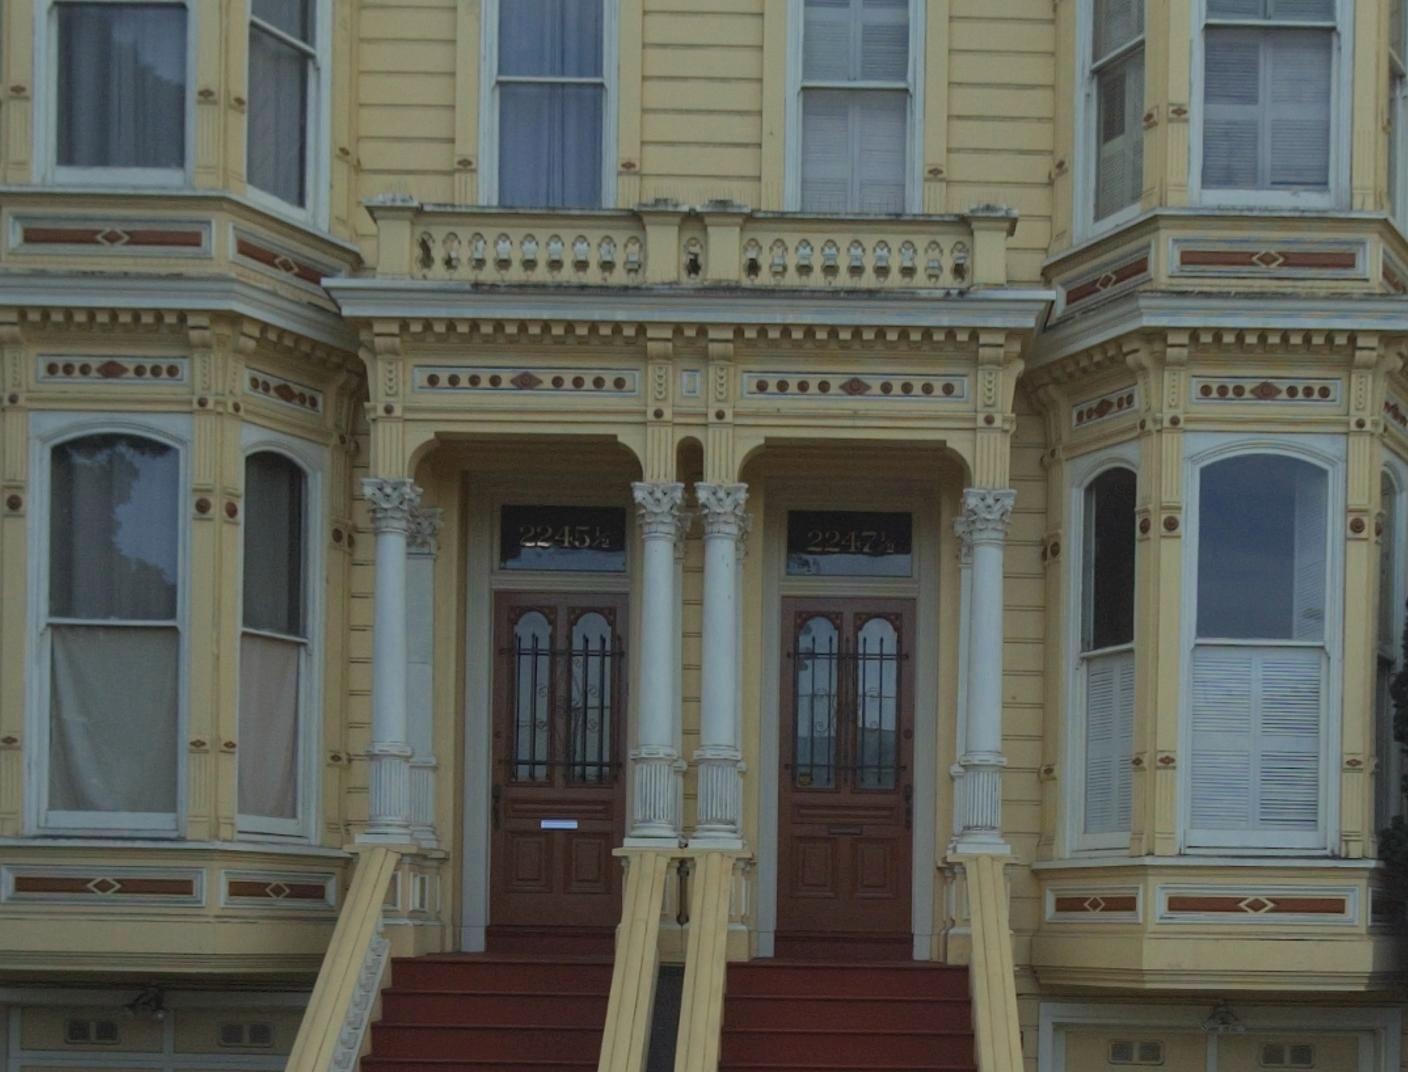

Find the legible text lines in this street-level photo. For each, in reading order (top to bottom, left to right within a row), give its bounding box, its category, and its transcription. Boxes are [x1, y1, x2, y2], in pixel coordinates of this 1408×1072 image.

[516, 520, 614, 552] StreetNumber: 2245 1/2
[804, 527, 900, 555] StreetNumber: 2247 1/2